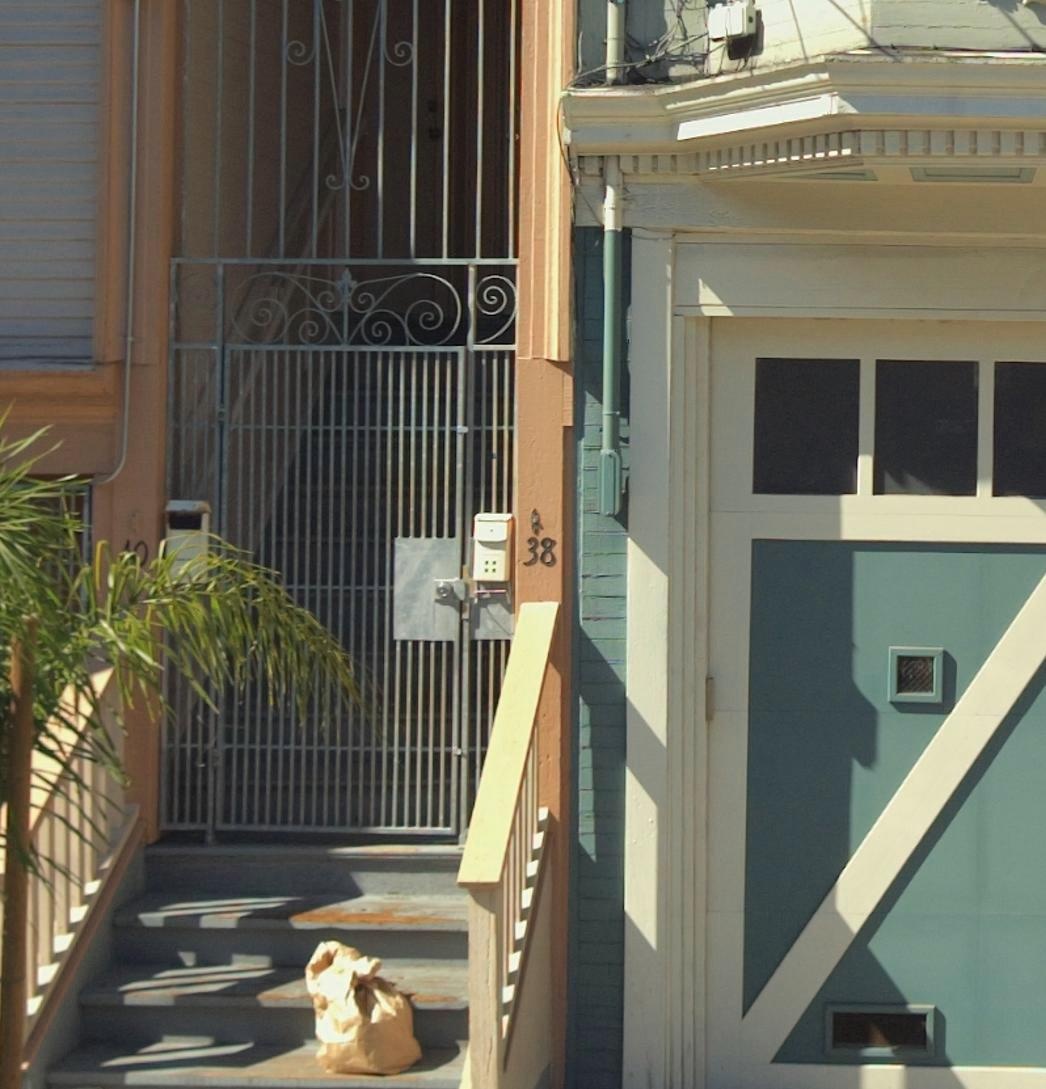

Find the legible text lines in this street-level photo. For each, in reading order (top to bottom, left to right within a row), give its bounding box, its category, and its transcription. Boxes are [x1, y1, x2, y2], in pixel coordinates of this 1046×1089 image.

[520, 534, 560, 571] StreetNumber: 38